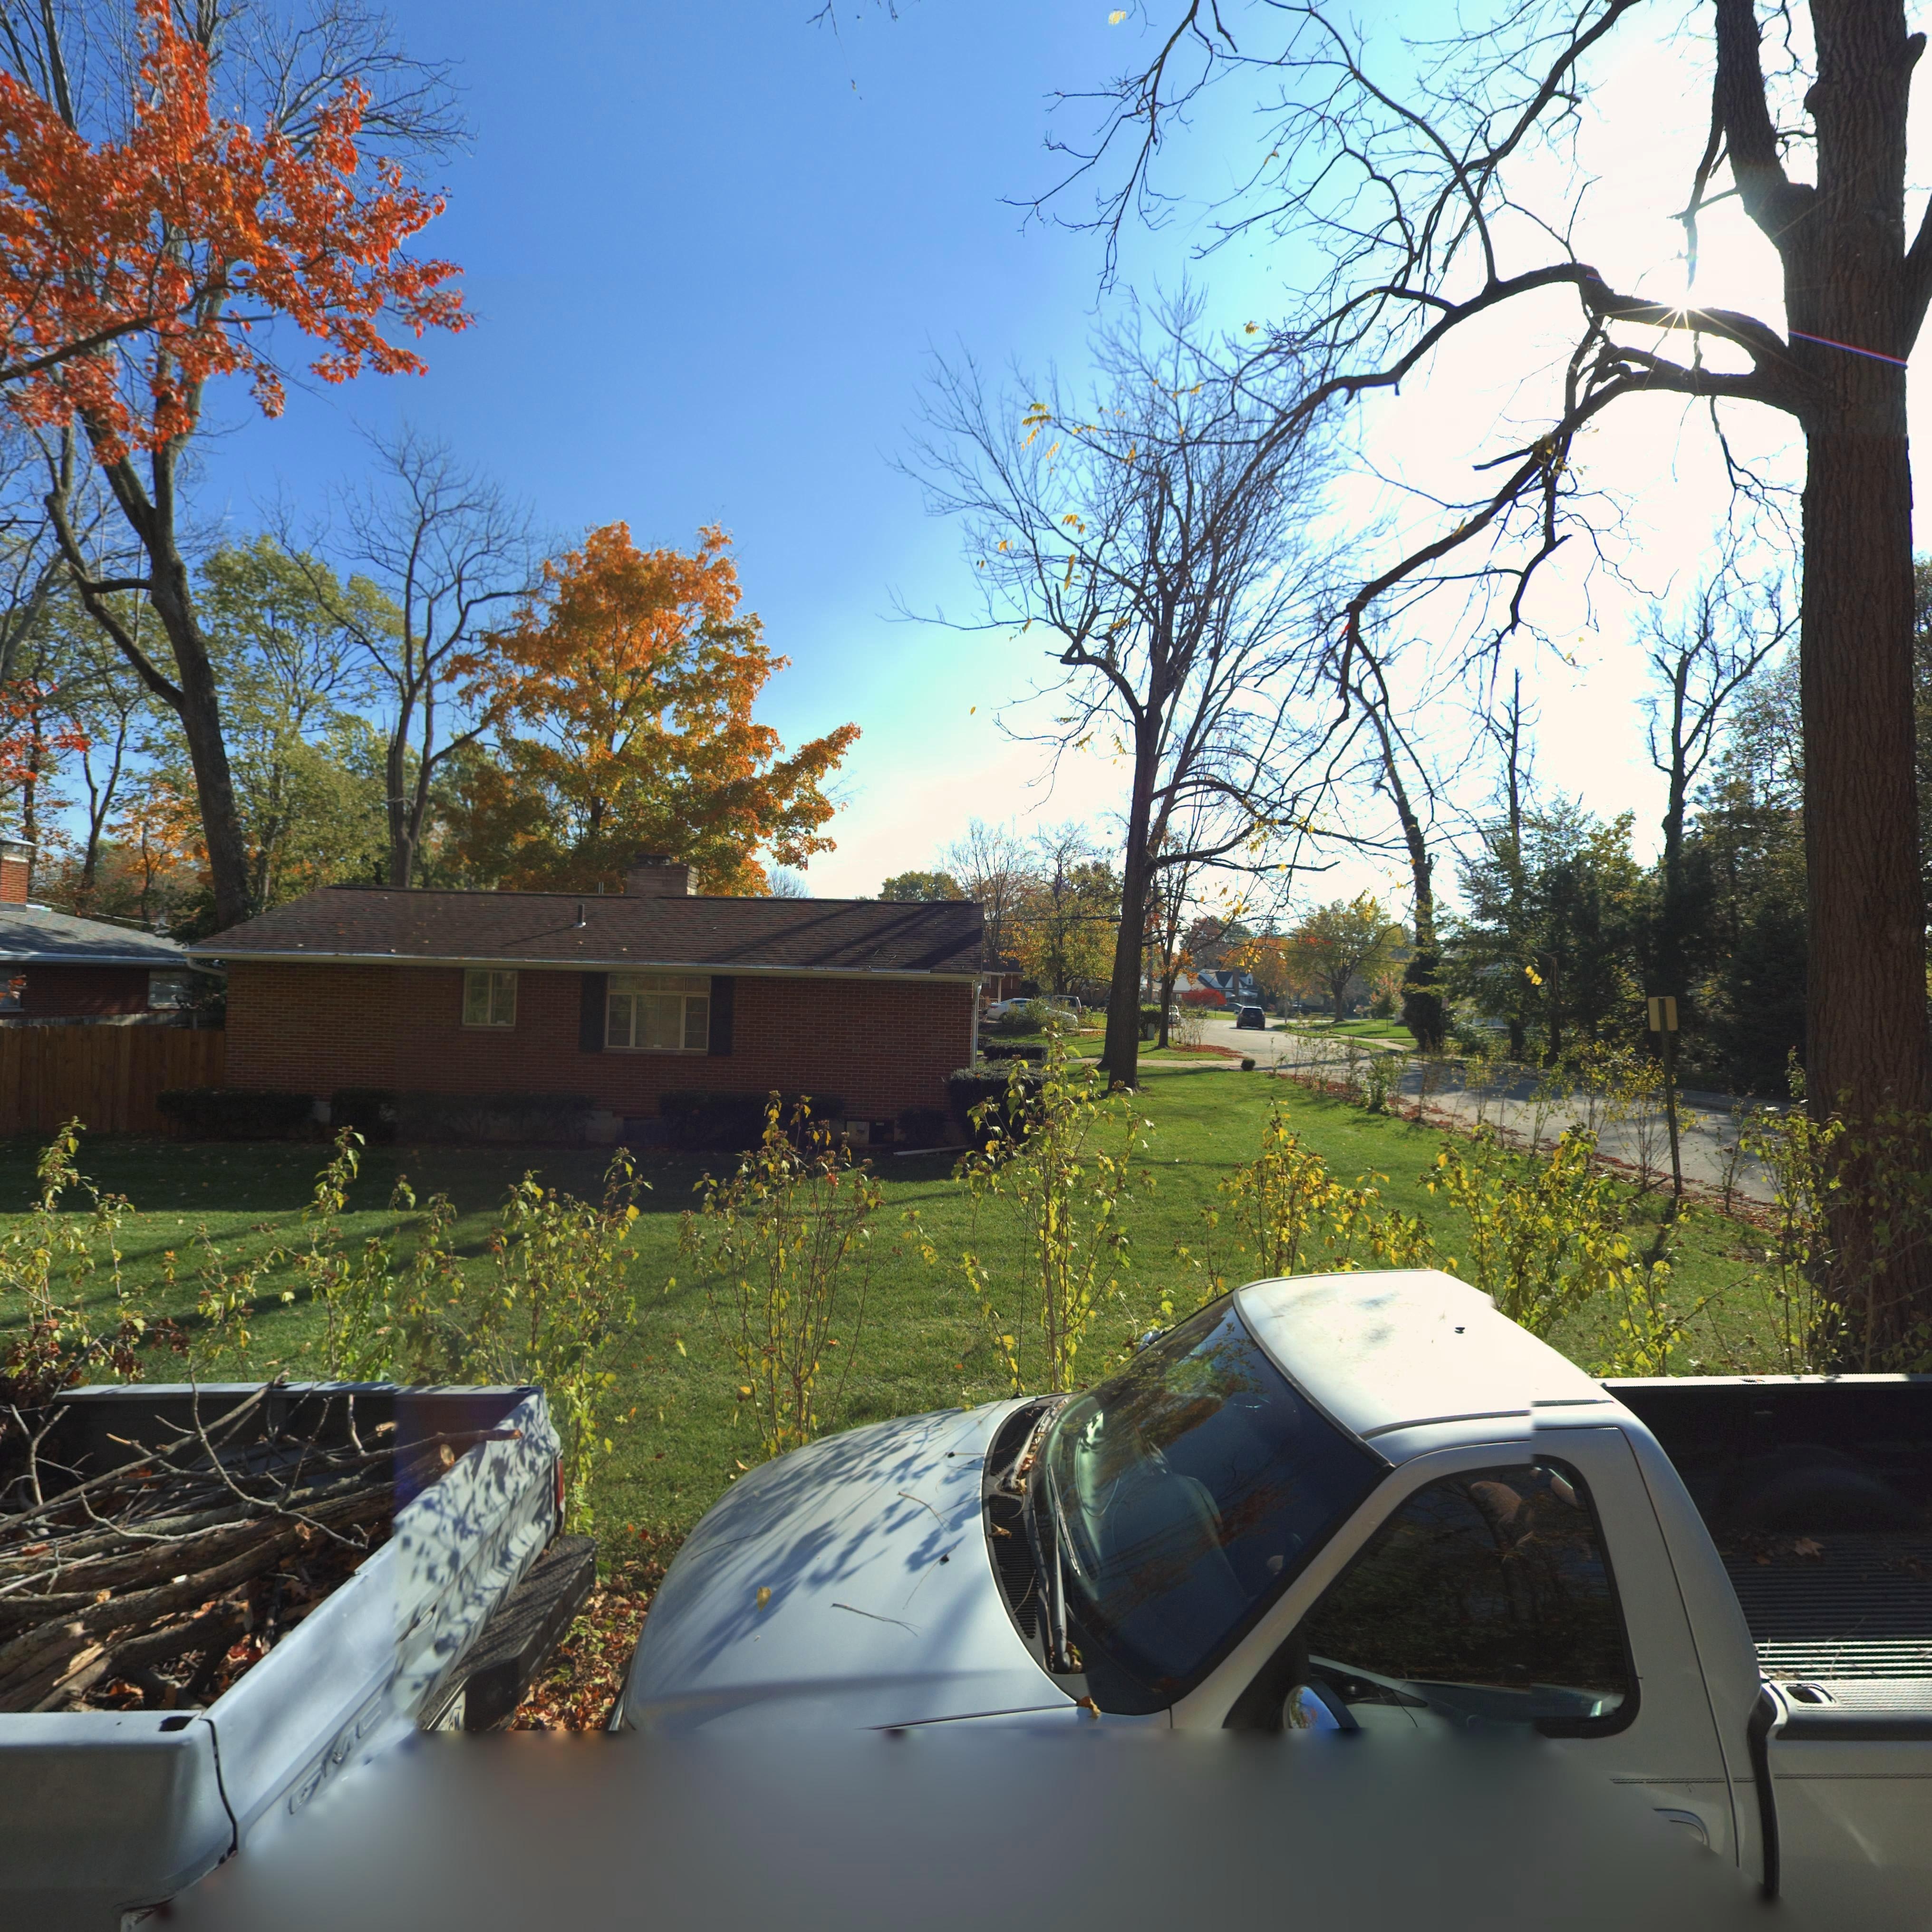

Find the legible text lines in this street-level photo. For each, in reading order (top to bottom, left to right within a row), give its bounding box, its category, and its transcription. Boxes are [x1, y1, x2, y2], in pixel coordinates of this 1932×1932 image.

[287, 1692, 384, 1818] None: GMC